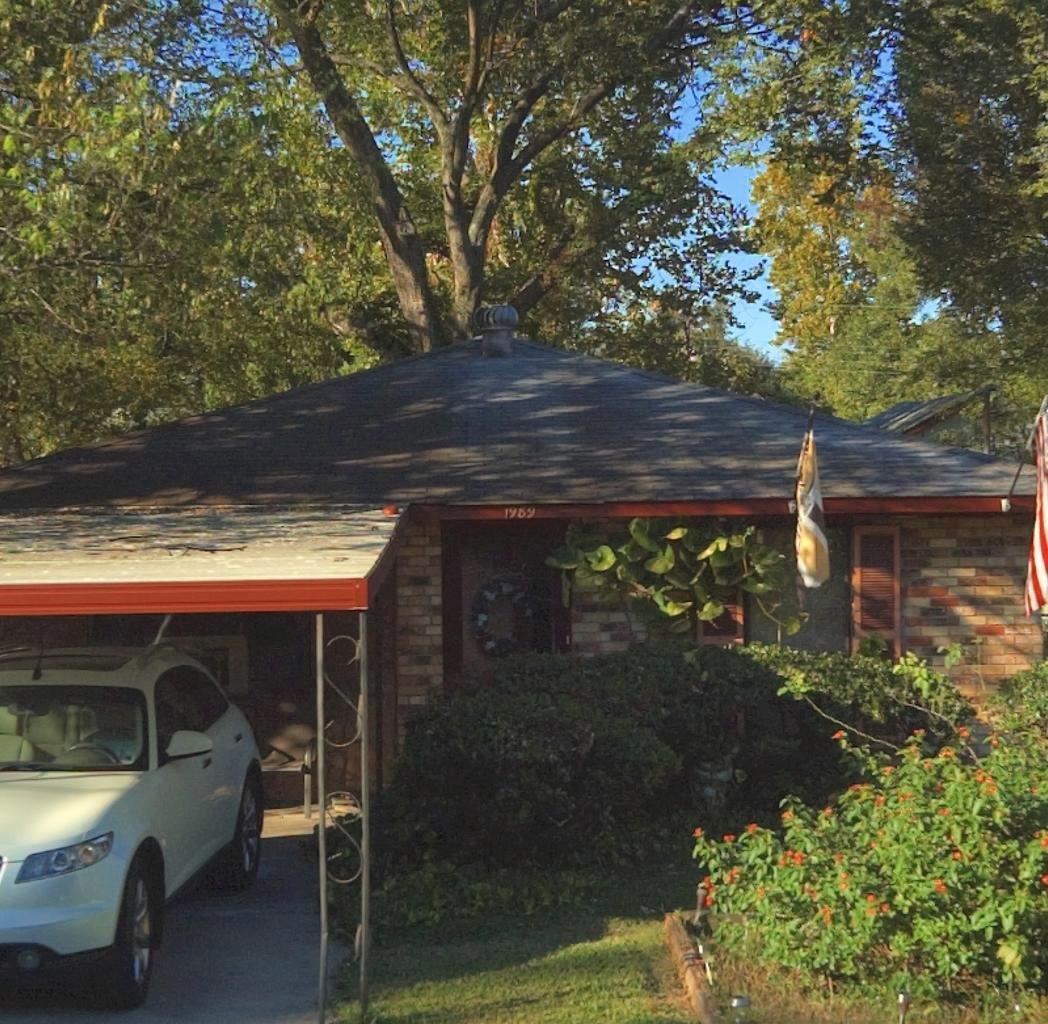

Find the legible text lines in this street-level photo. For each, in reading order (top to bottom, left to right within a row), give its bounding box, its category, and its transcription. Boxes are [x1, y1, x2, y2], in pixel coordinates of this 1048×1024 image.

[503, 505, 536, 519] StreetNumber: 1989